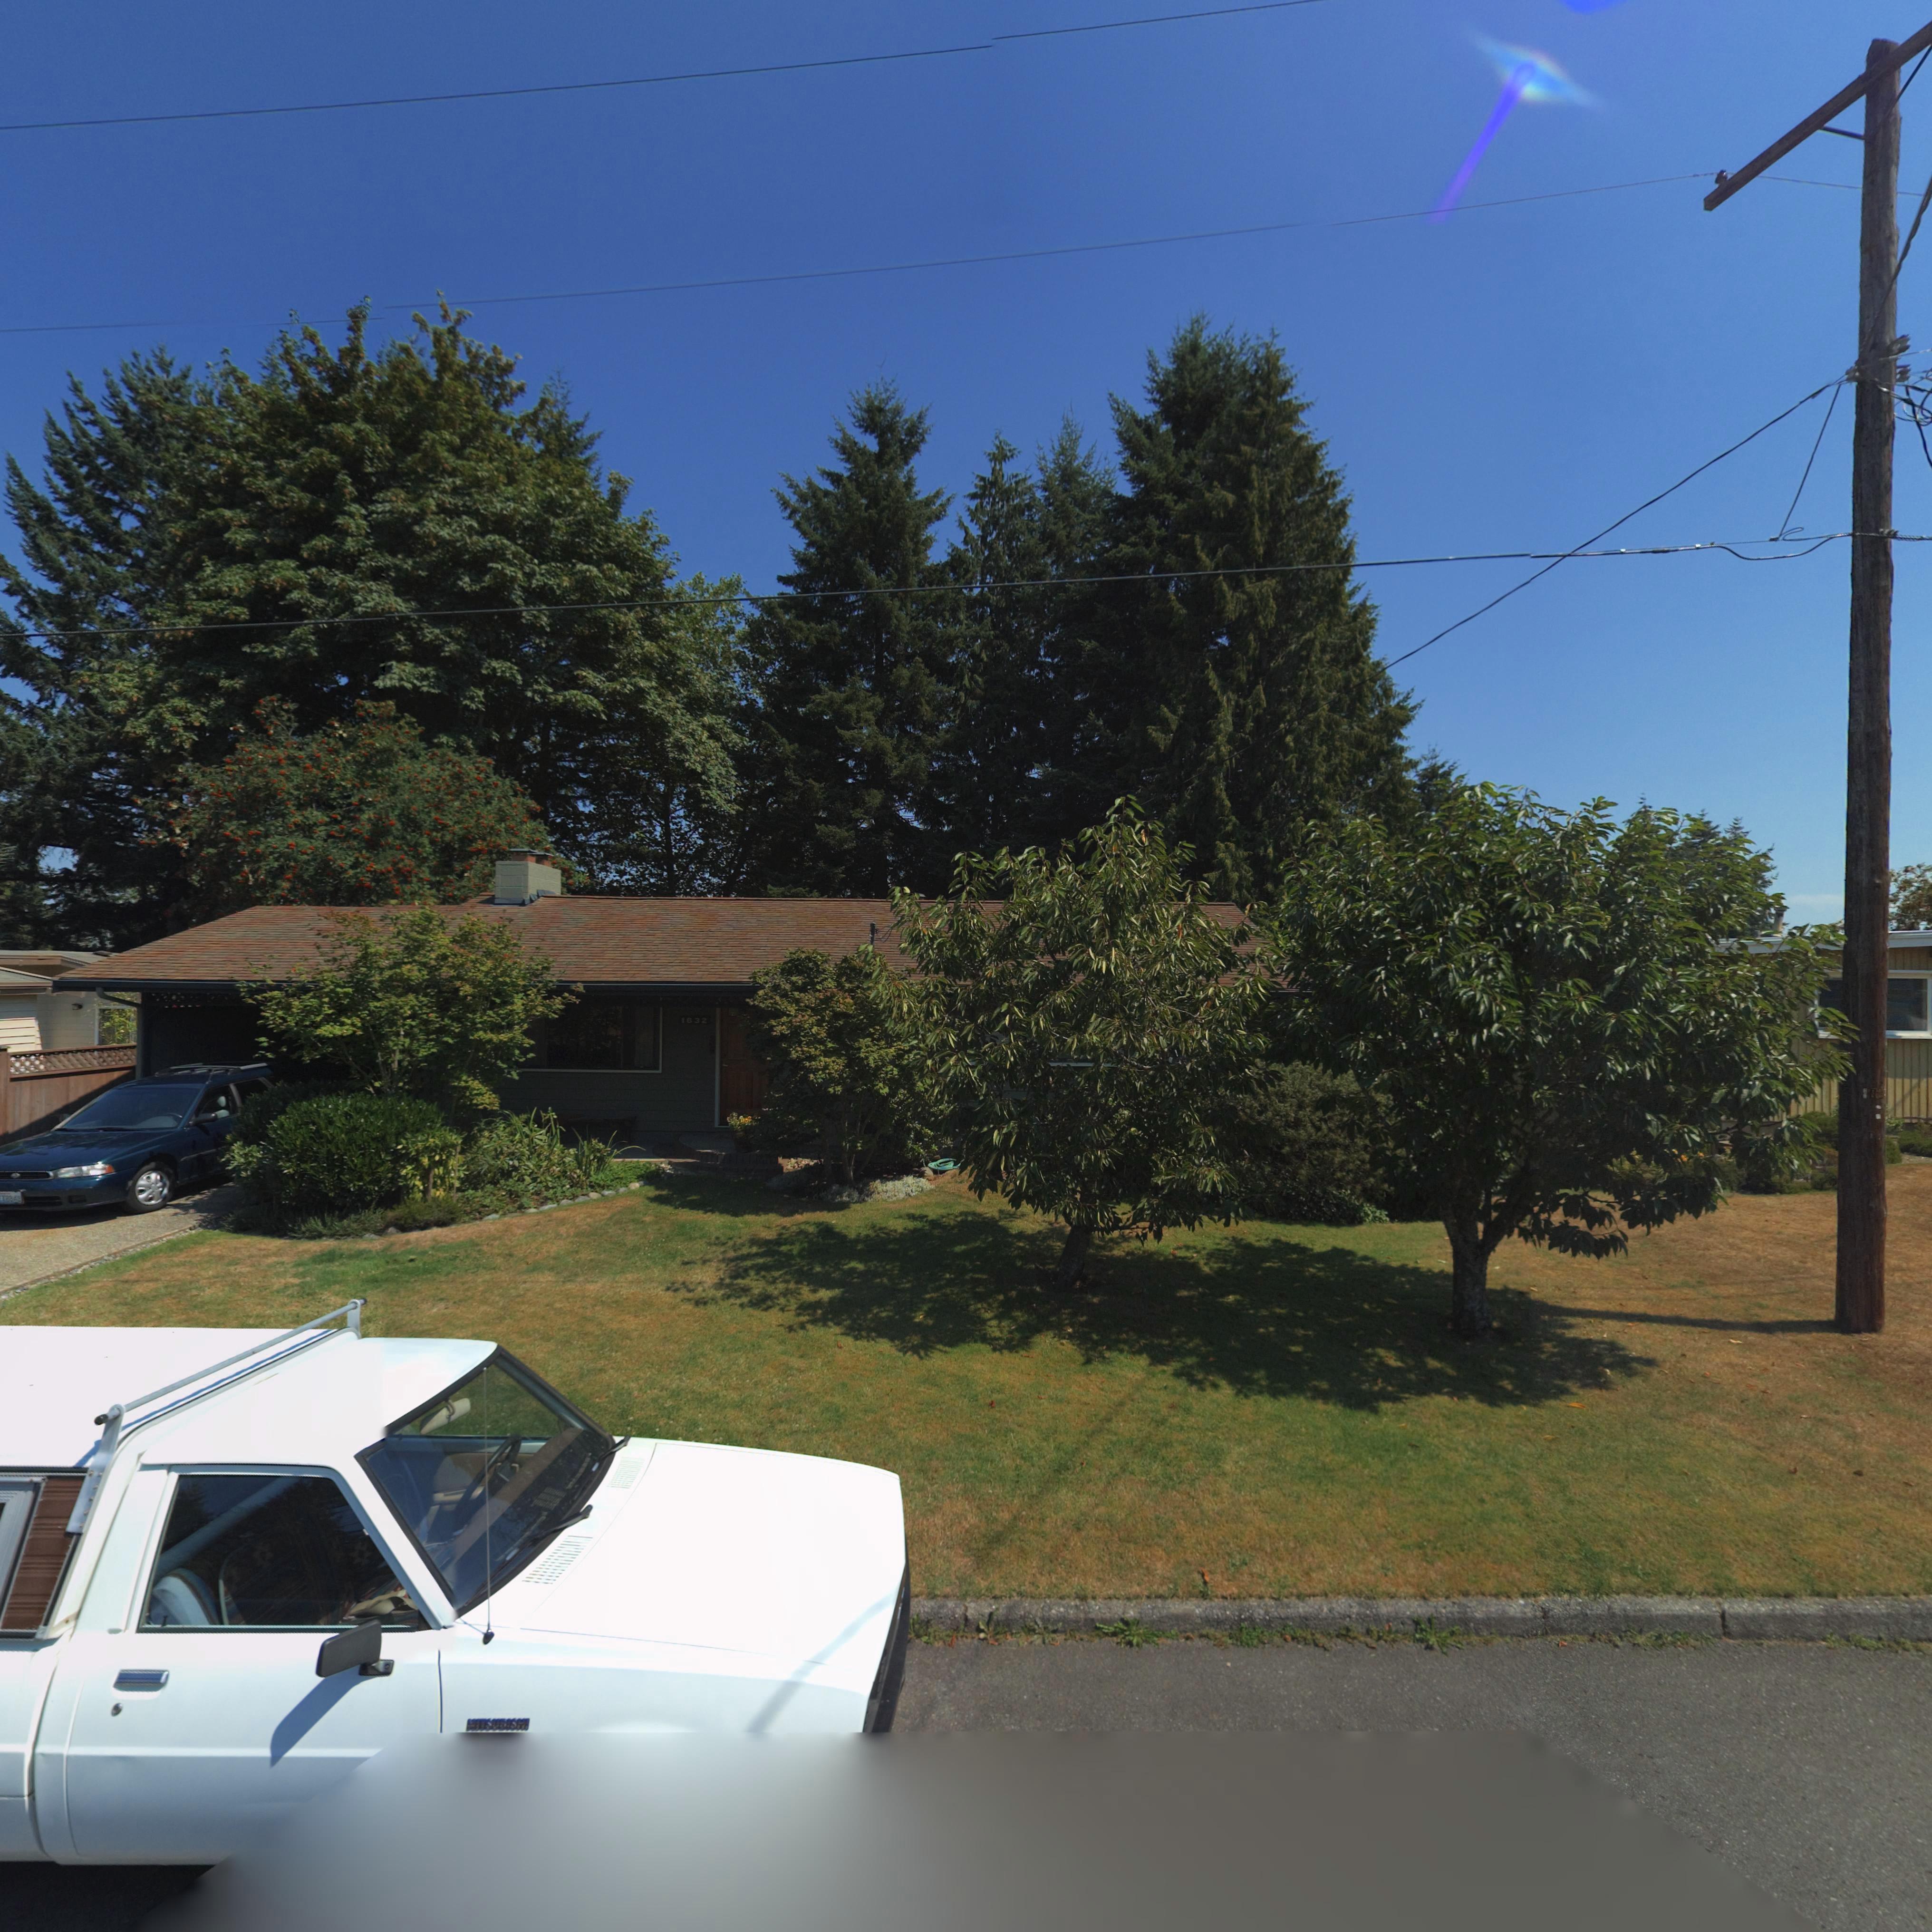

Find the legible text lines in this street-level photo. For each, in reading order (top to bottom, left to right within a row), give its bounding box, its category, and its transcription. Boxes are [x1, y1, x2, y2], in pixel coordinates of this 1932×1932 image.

[681, 1015, 707, 1027] StreetNumber: 1632